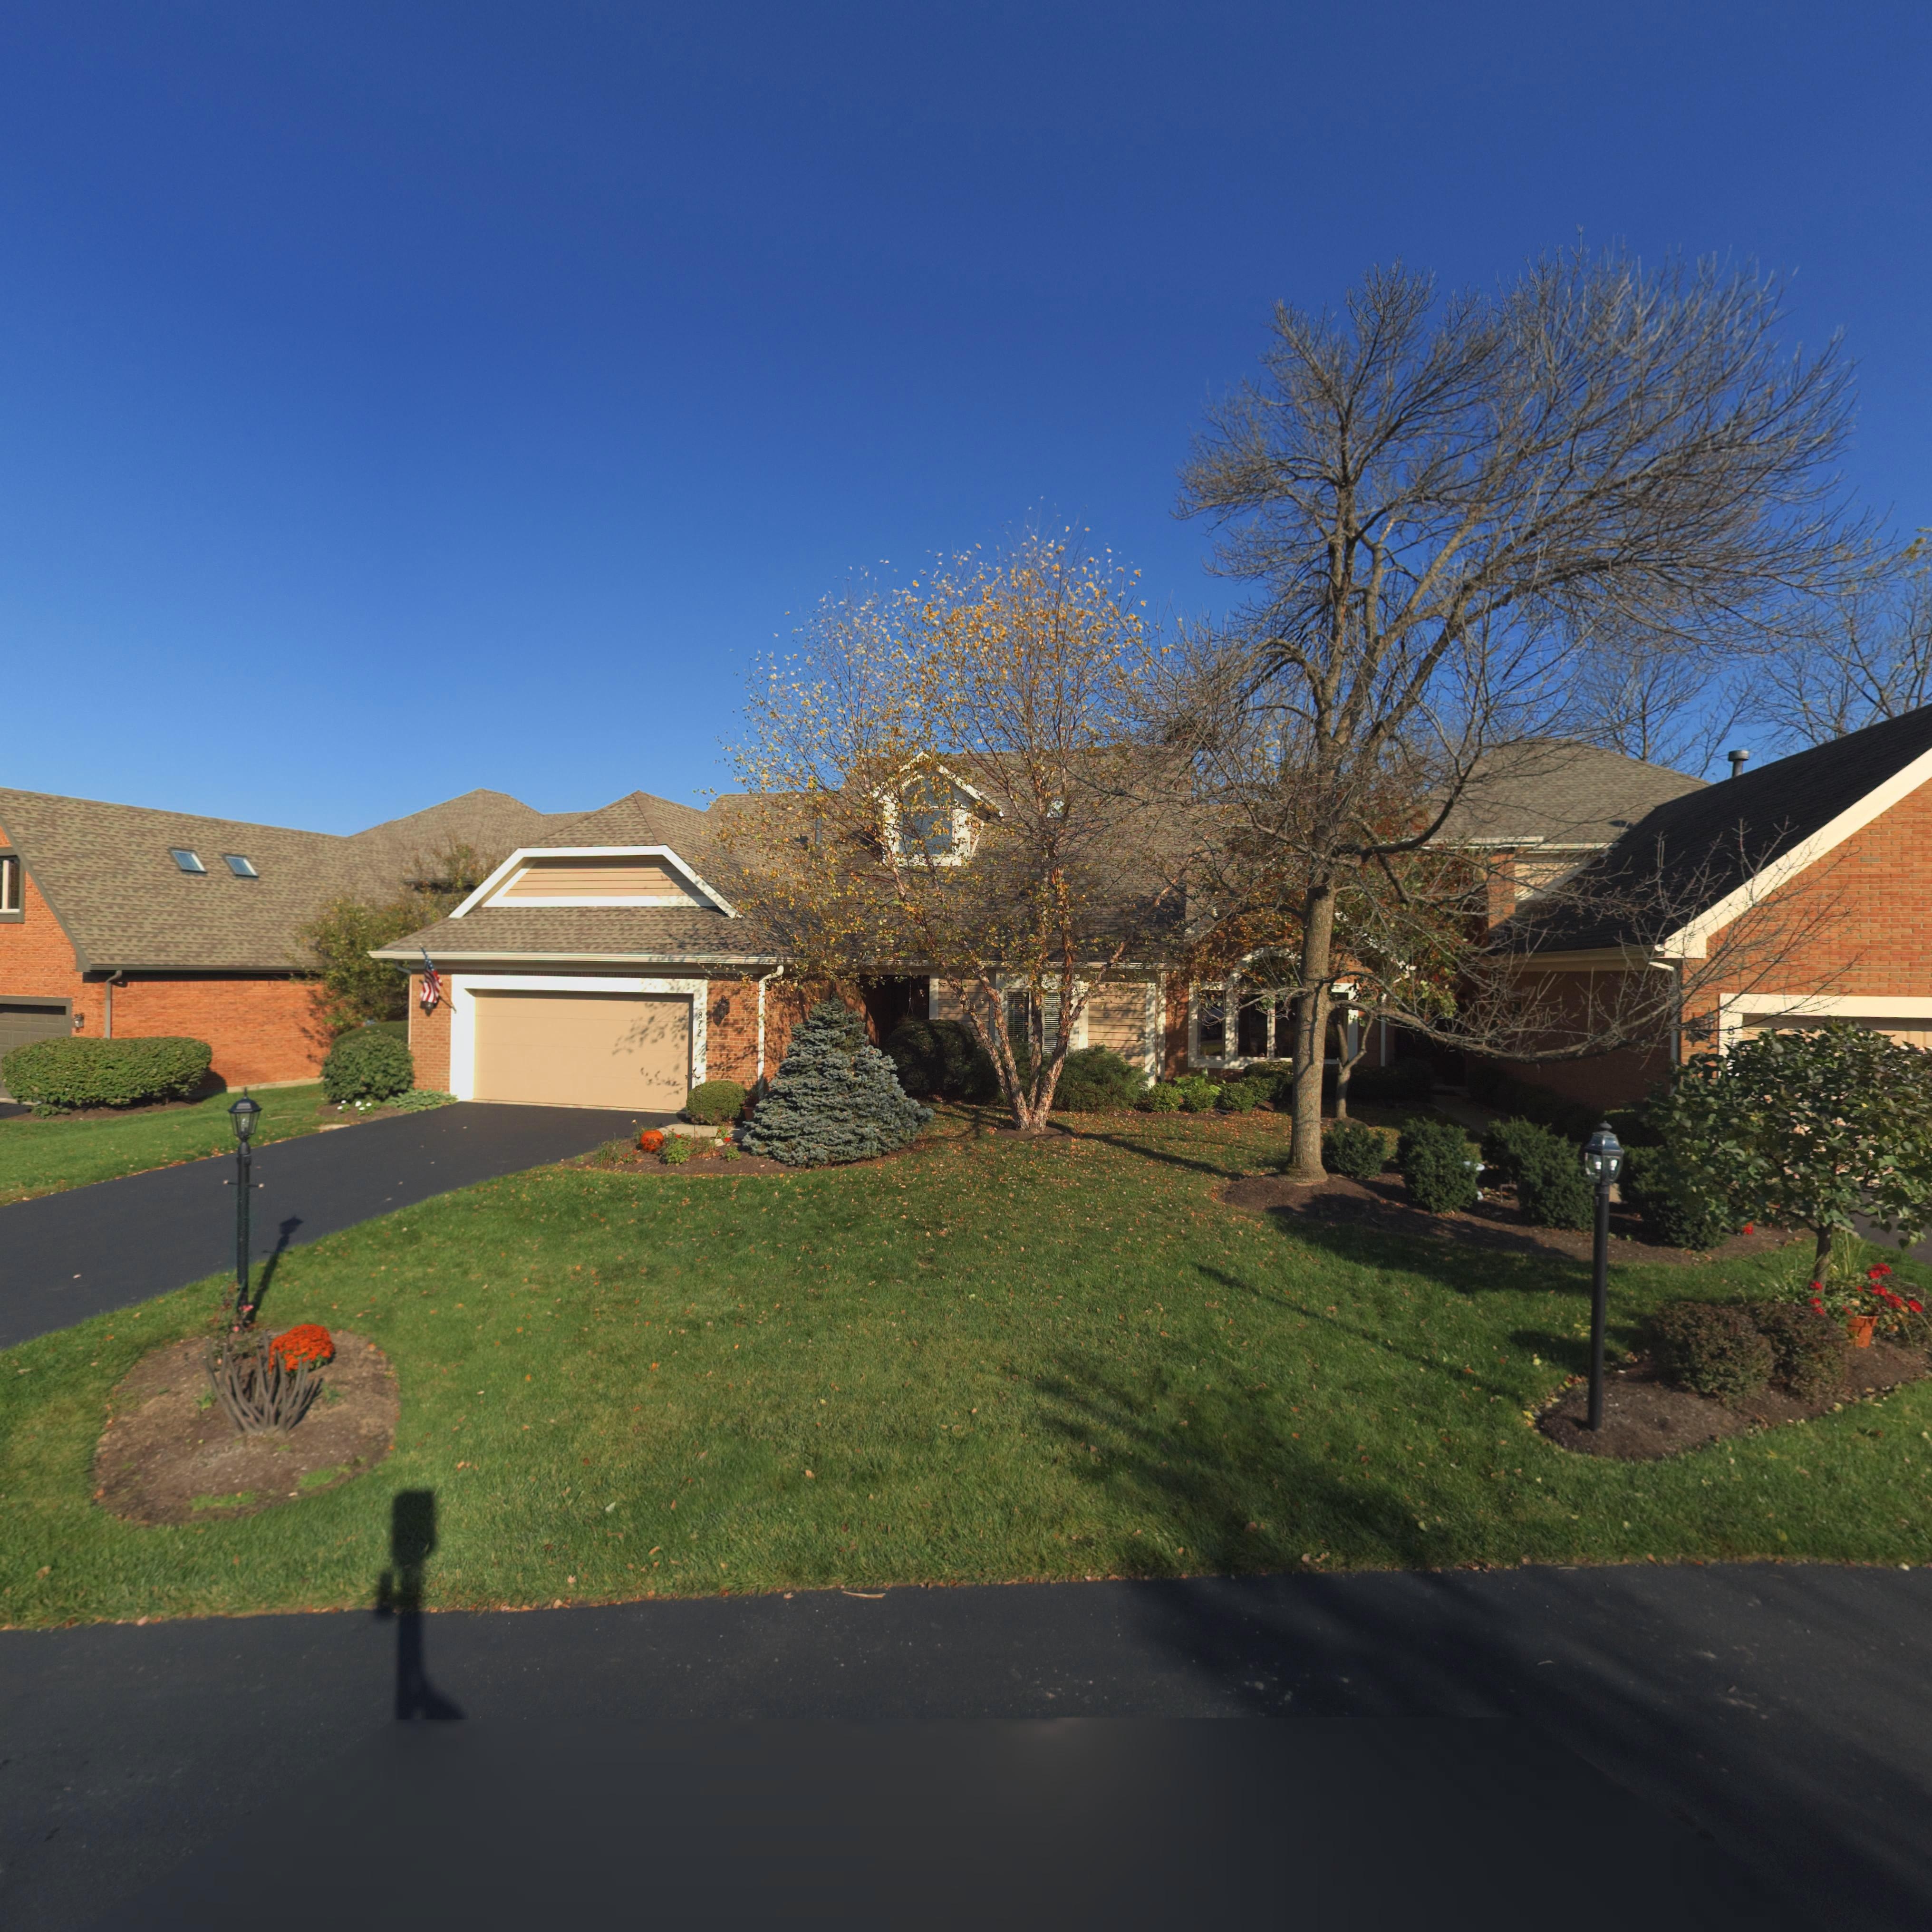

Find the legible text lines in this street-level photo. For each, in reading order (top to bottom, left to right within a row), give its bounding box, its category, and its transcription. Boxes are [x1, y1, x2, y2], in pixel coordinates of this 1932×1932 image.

[696, 1010, 704, 1038] StreetNumber: 872